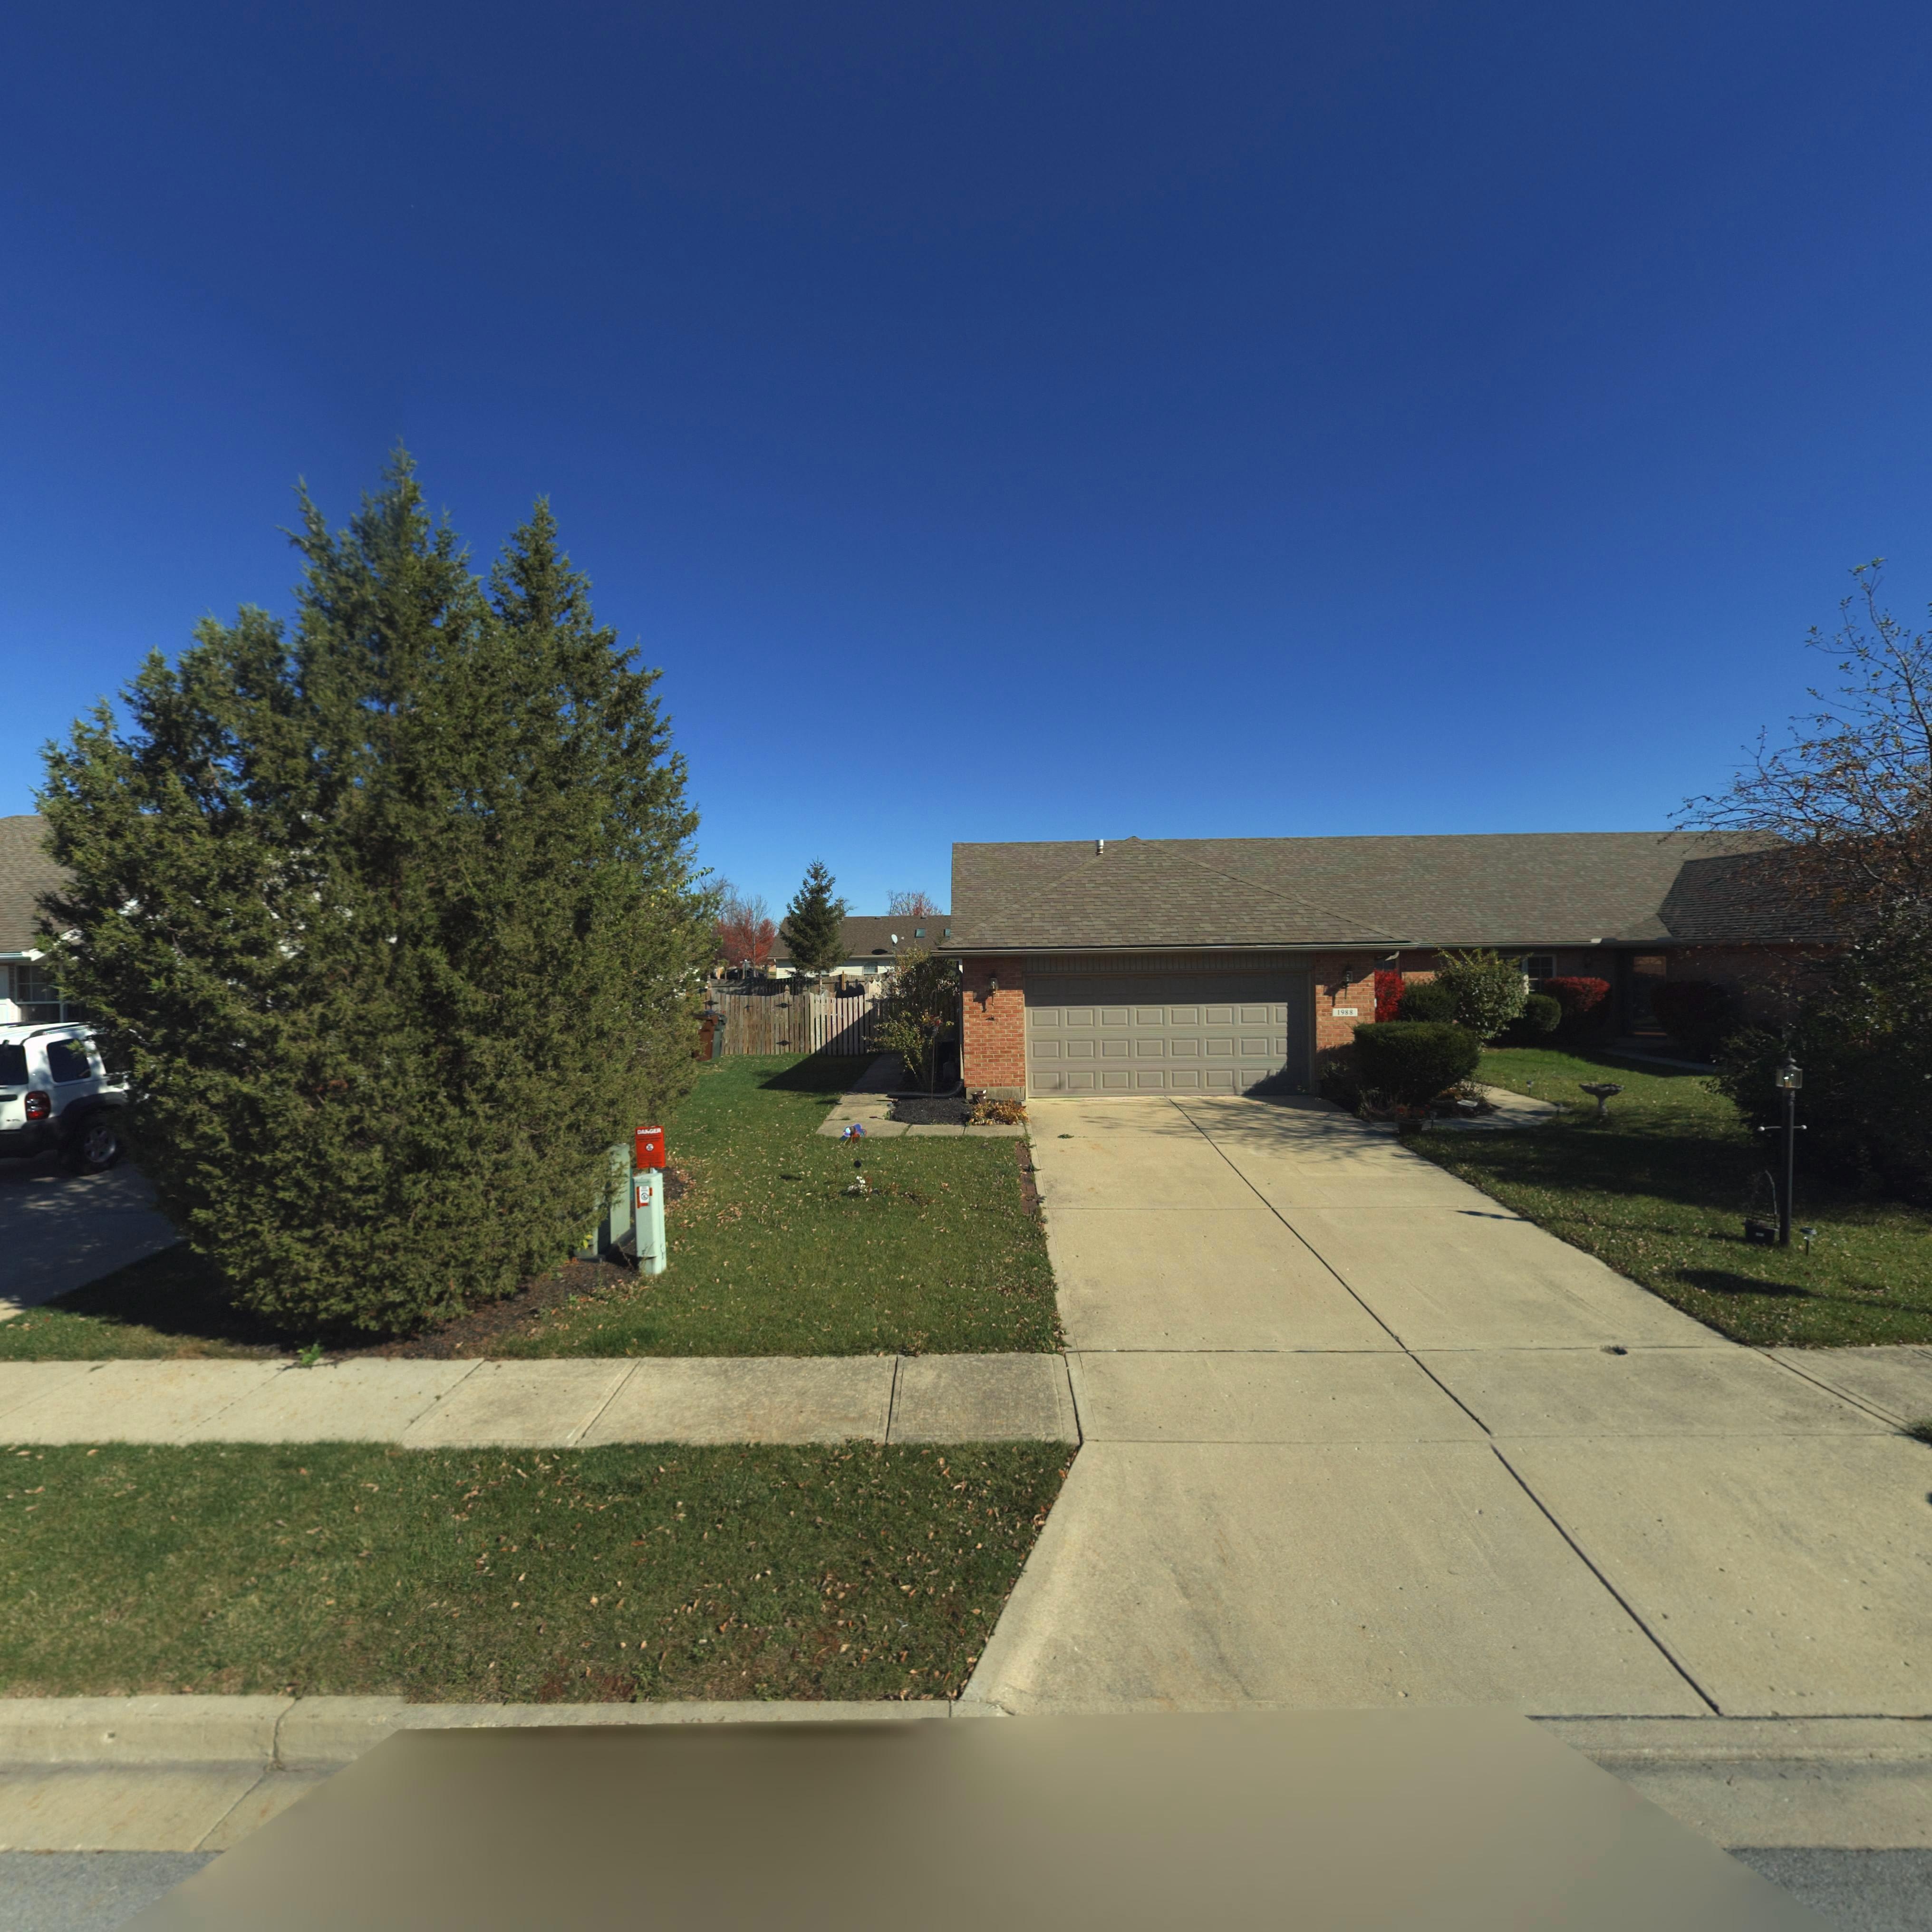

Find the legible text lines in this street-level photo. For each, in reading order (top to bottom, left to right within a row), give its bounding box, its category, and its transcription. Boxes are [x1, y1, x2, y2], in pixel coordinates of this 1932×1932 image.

[1337, 1008, 1353, 1016] StreetNumber: 1988